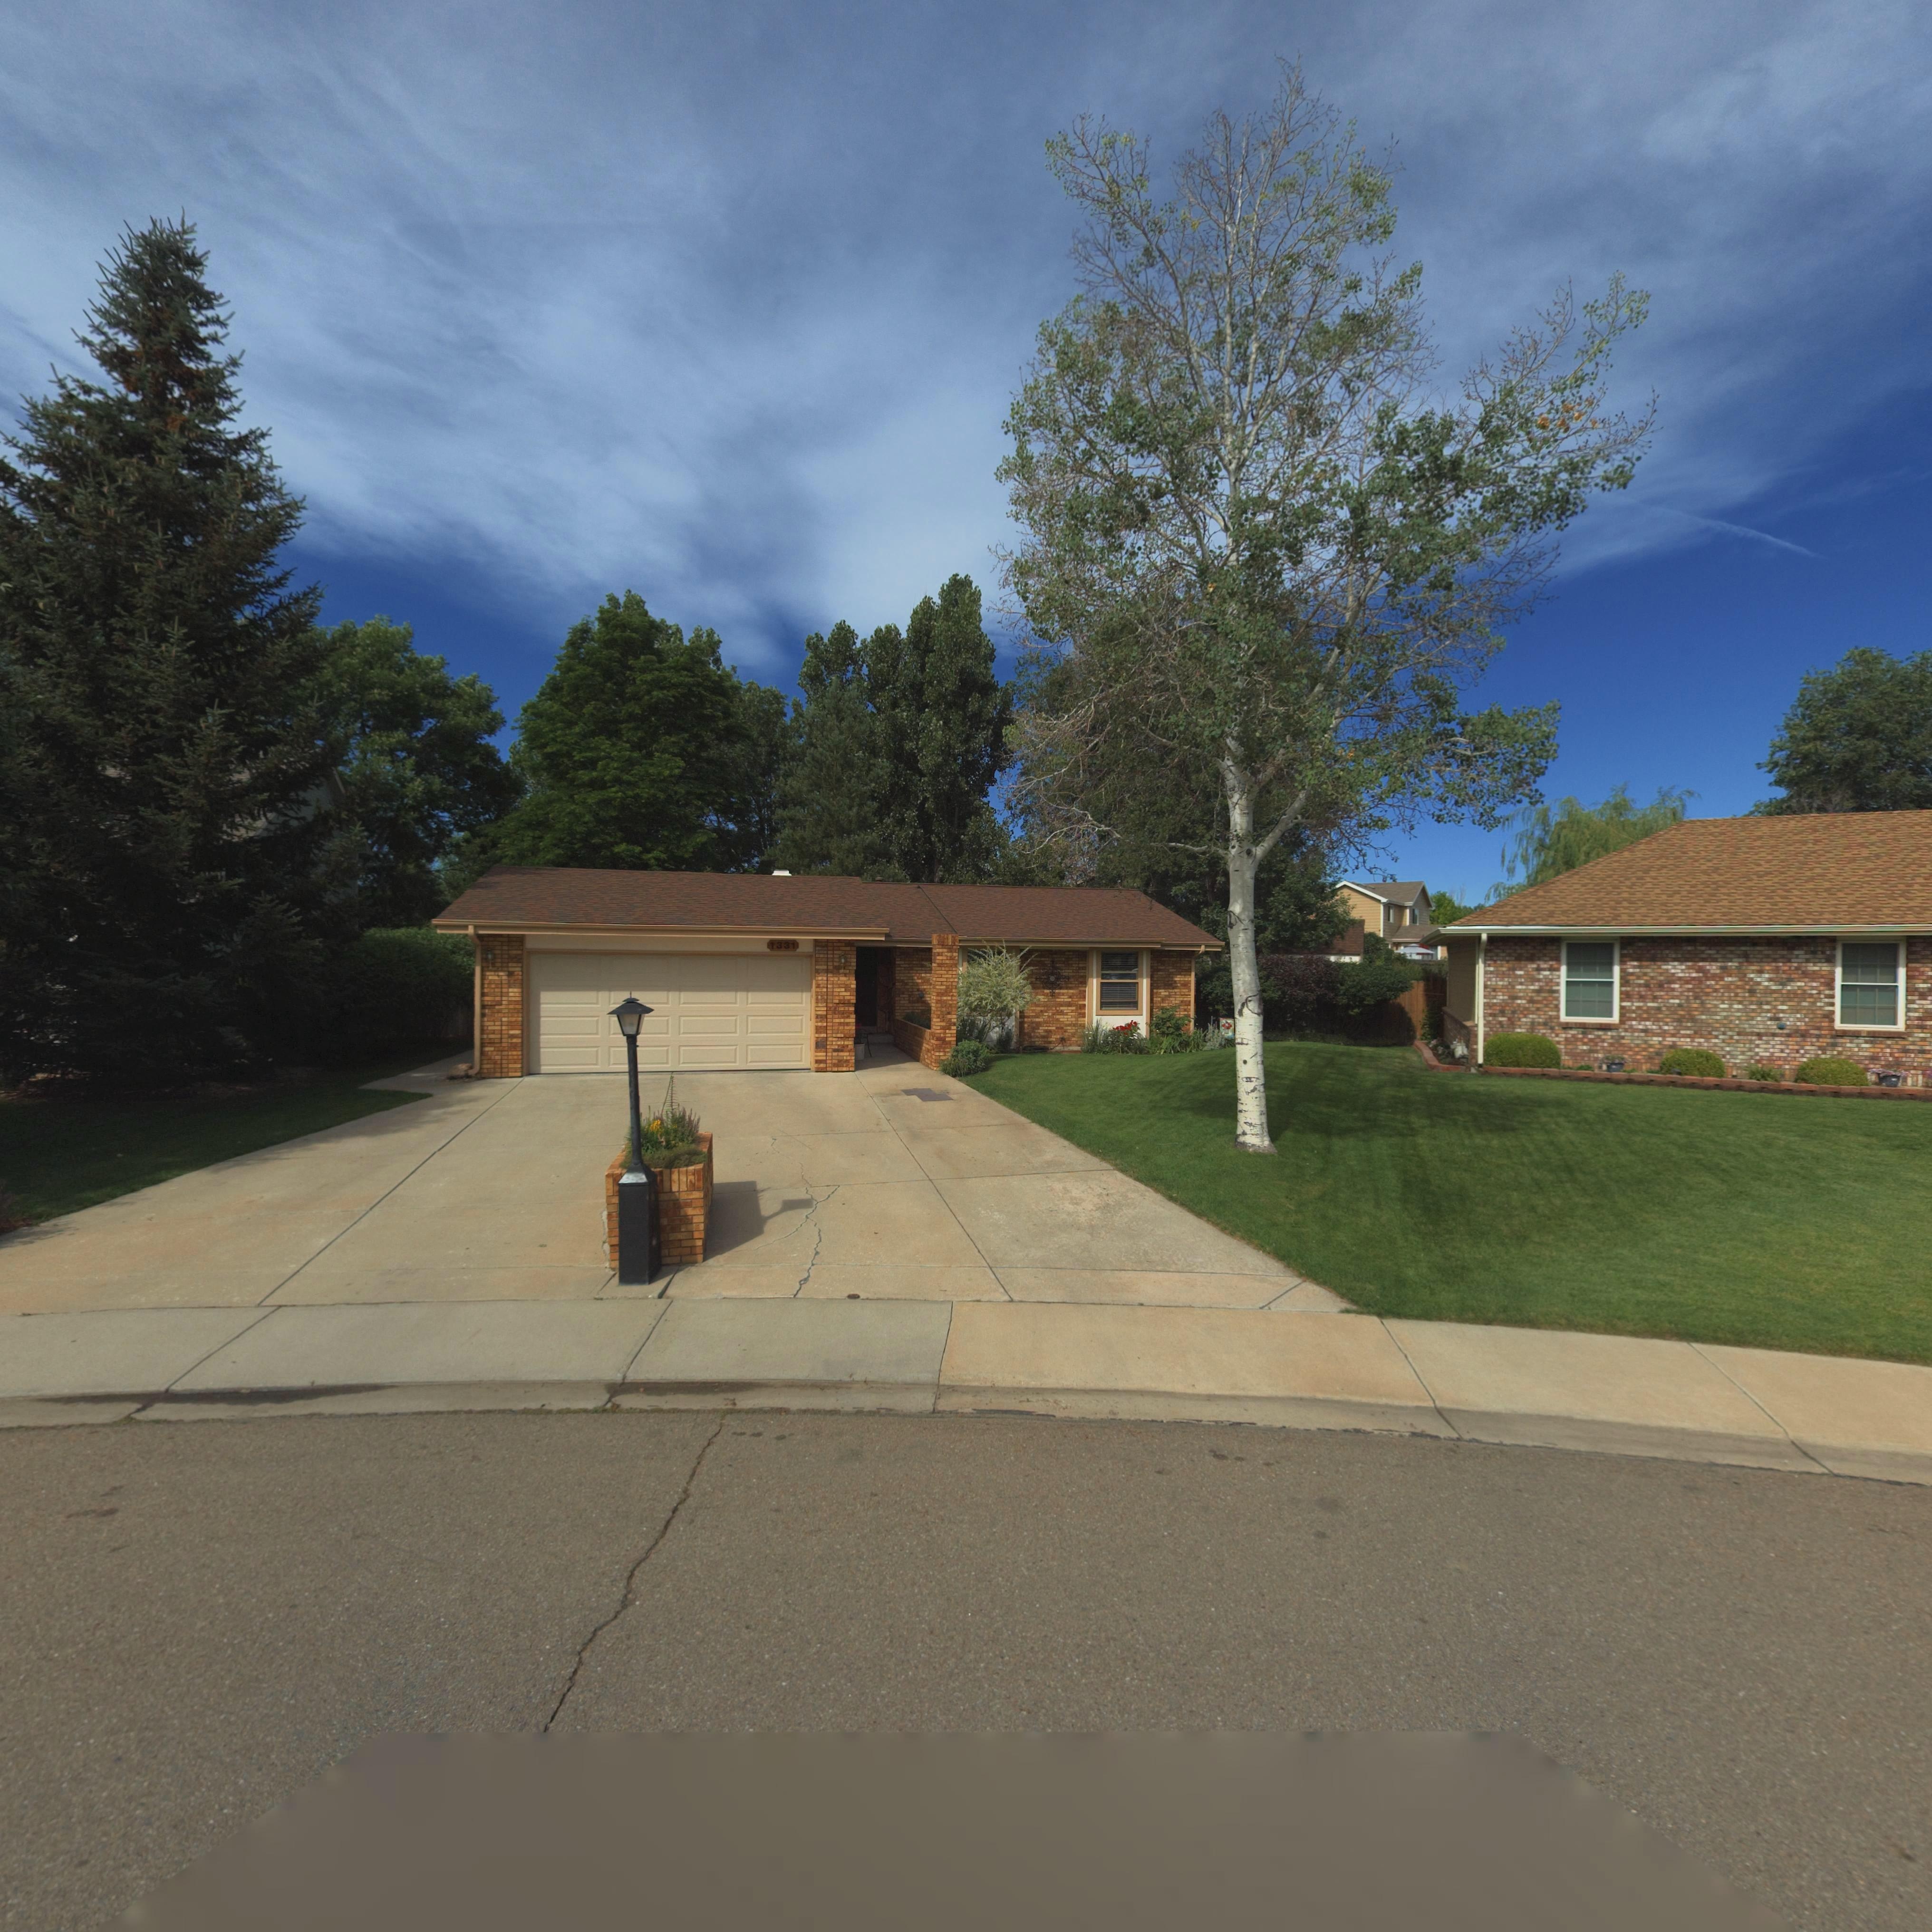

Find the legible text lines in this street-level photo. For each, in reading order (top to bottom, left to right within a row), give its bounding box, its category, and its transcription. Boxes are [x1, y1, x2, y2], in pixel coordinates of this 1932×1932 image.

[769, 941, 795, 949] StreetNumber: 1331